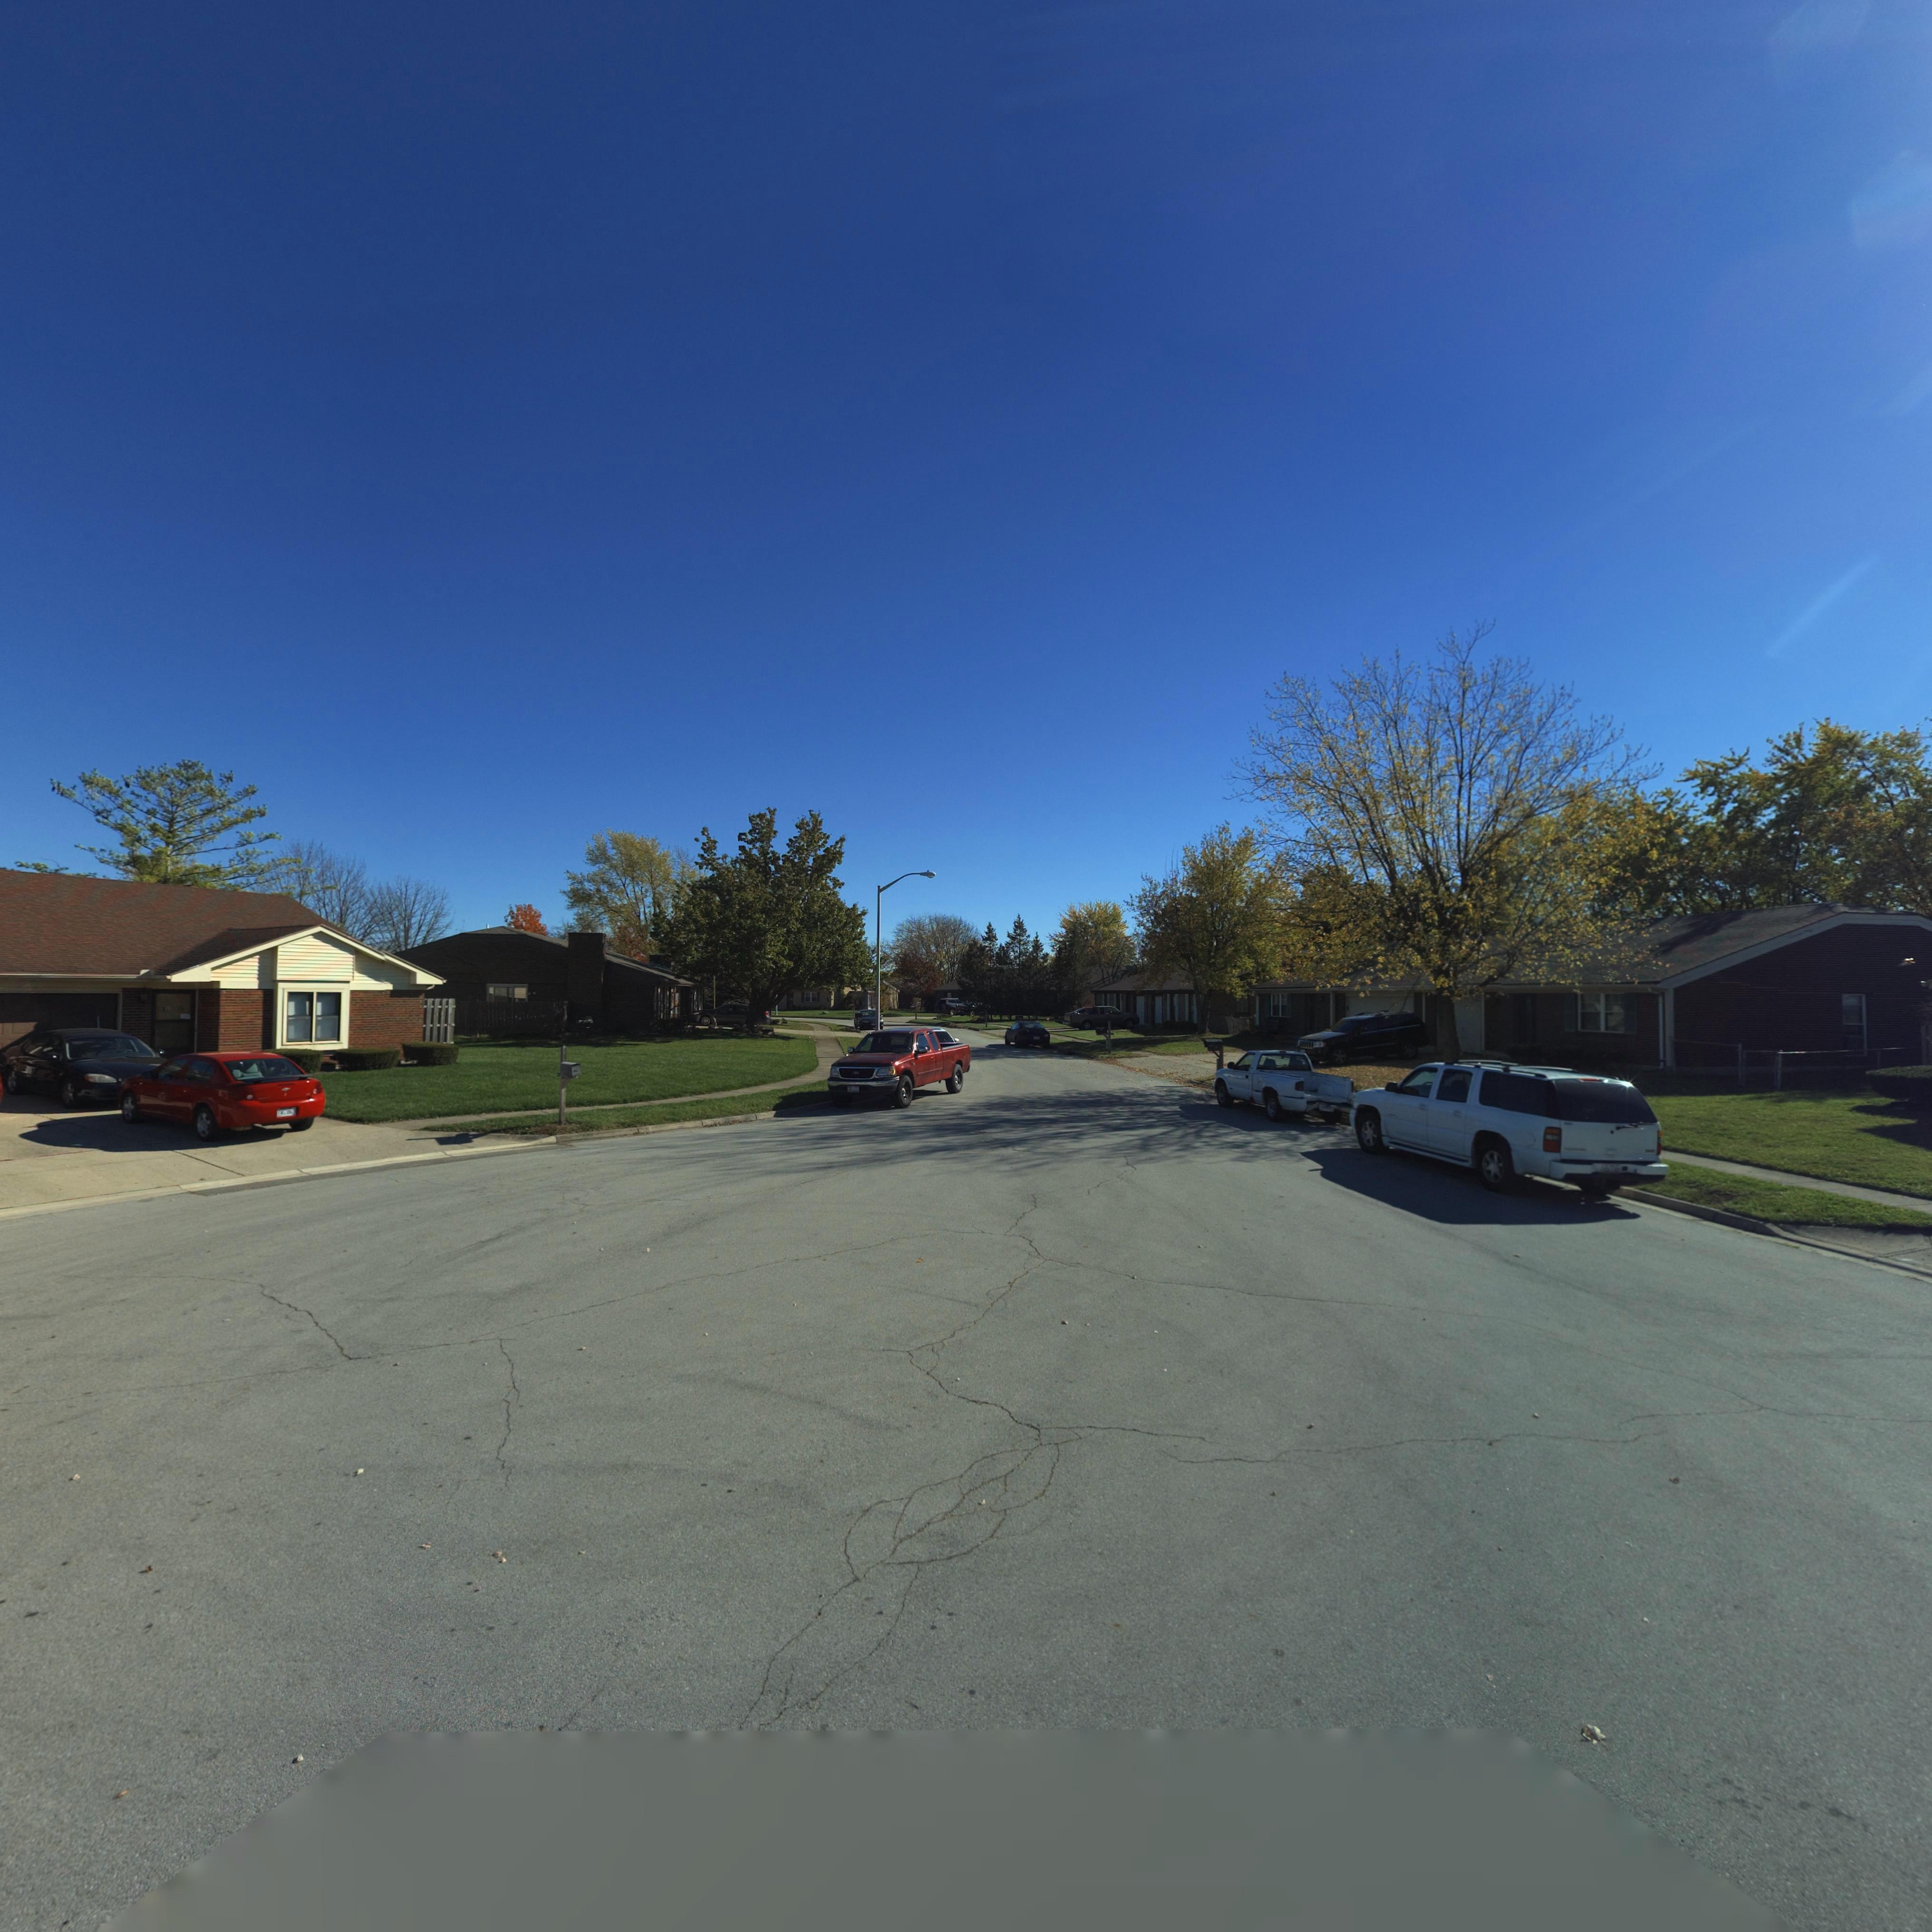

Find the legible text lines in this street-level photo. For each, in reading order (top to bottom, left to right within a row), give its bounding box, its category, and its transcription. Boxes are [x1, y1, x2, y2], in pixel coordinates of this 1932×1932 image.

[1217, 1060, 1219, 1063] StreetNumber: 4